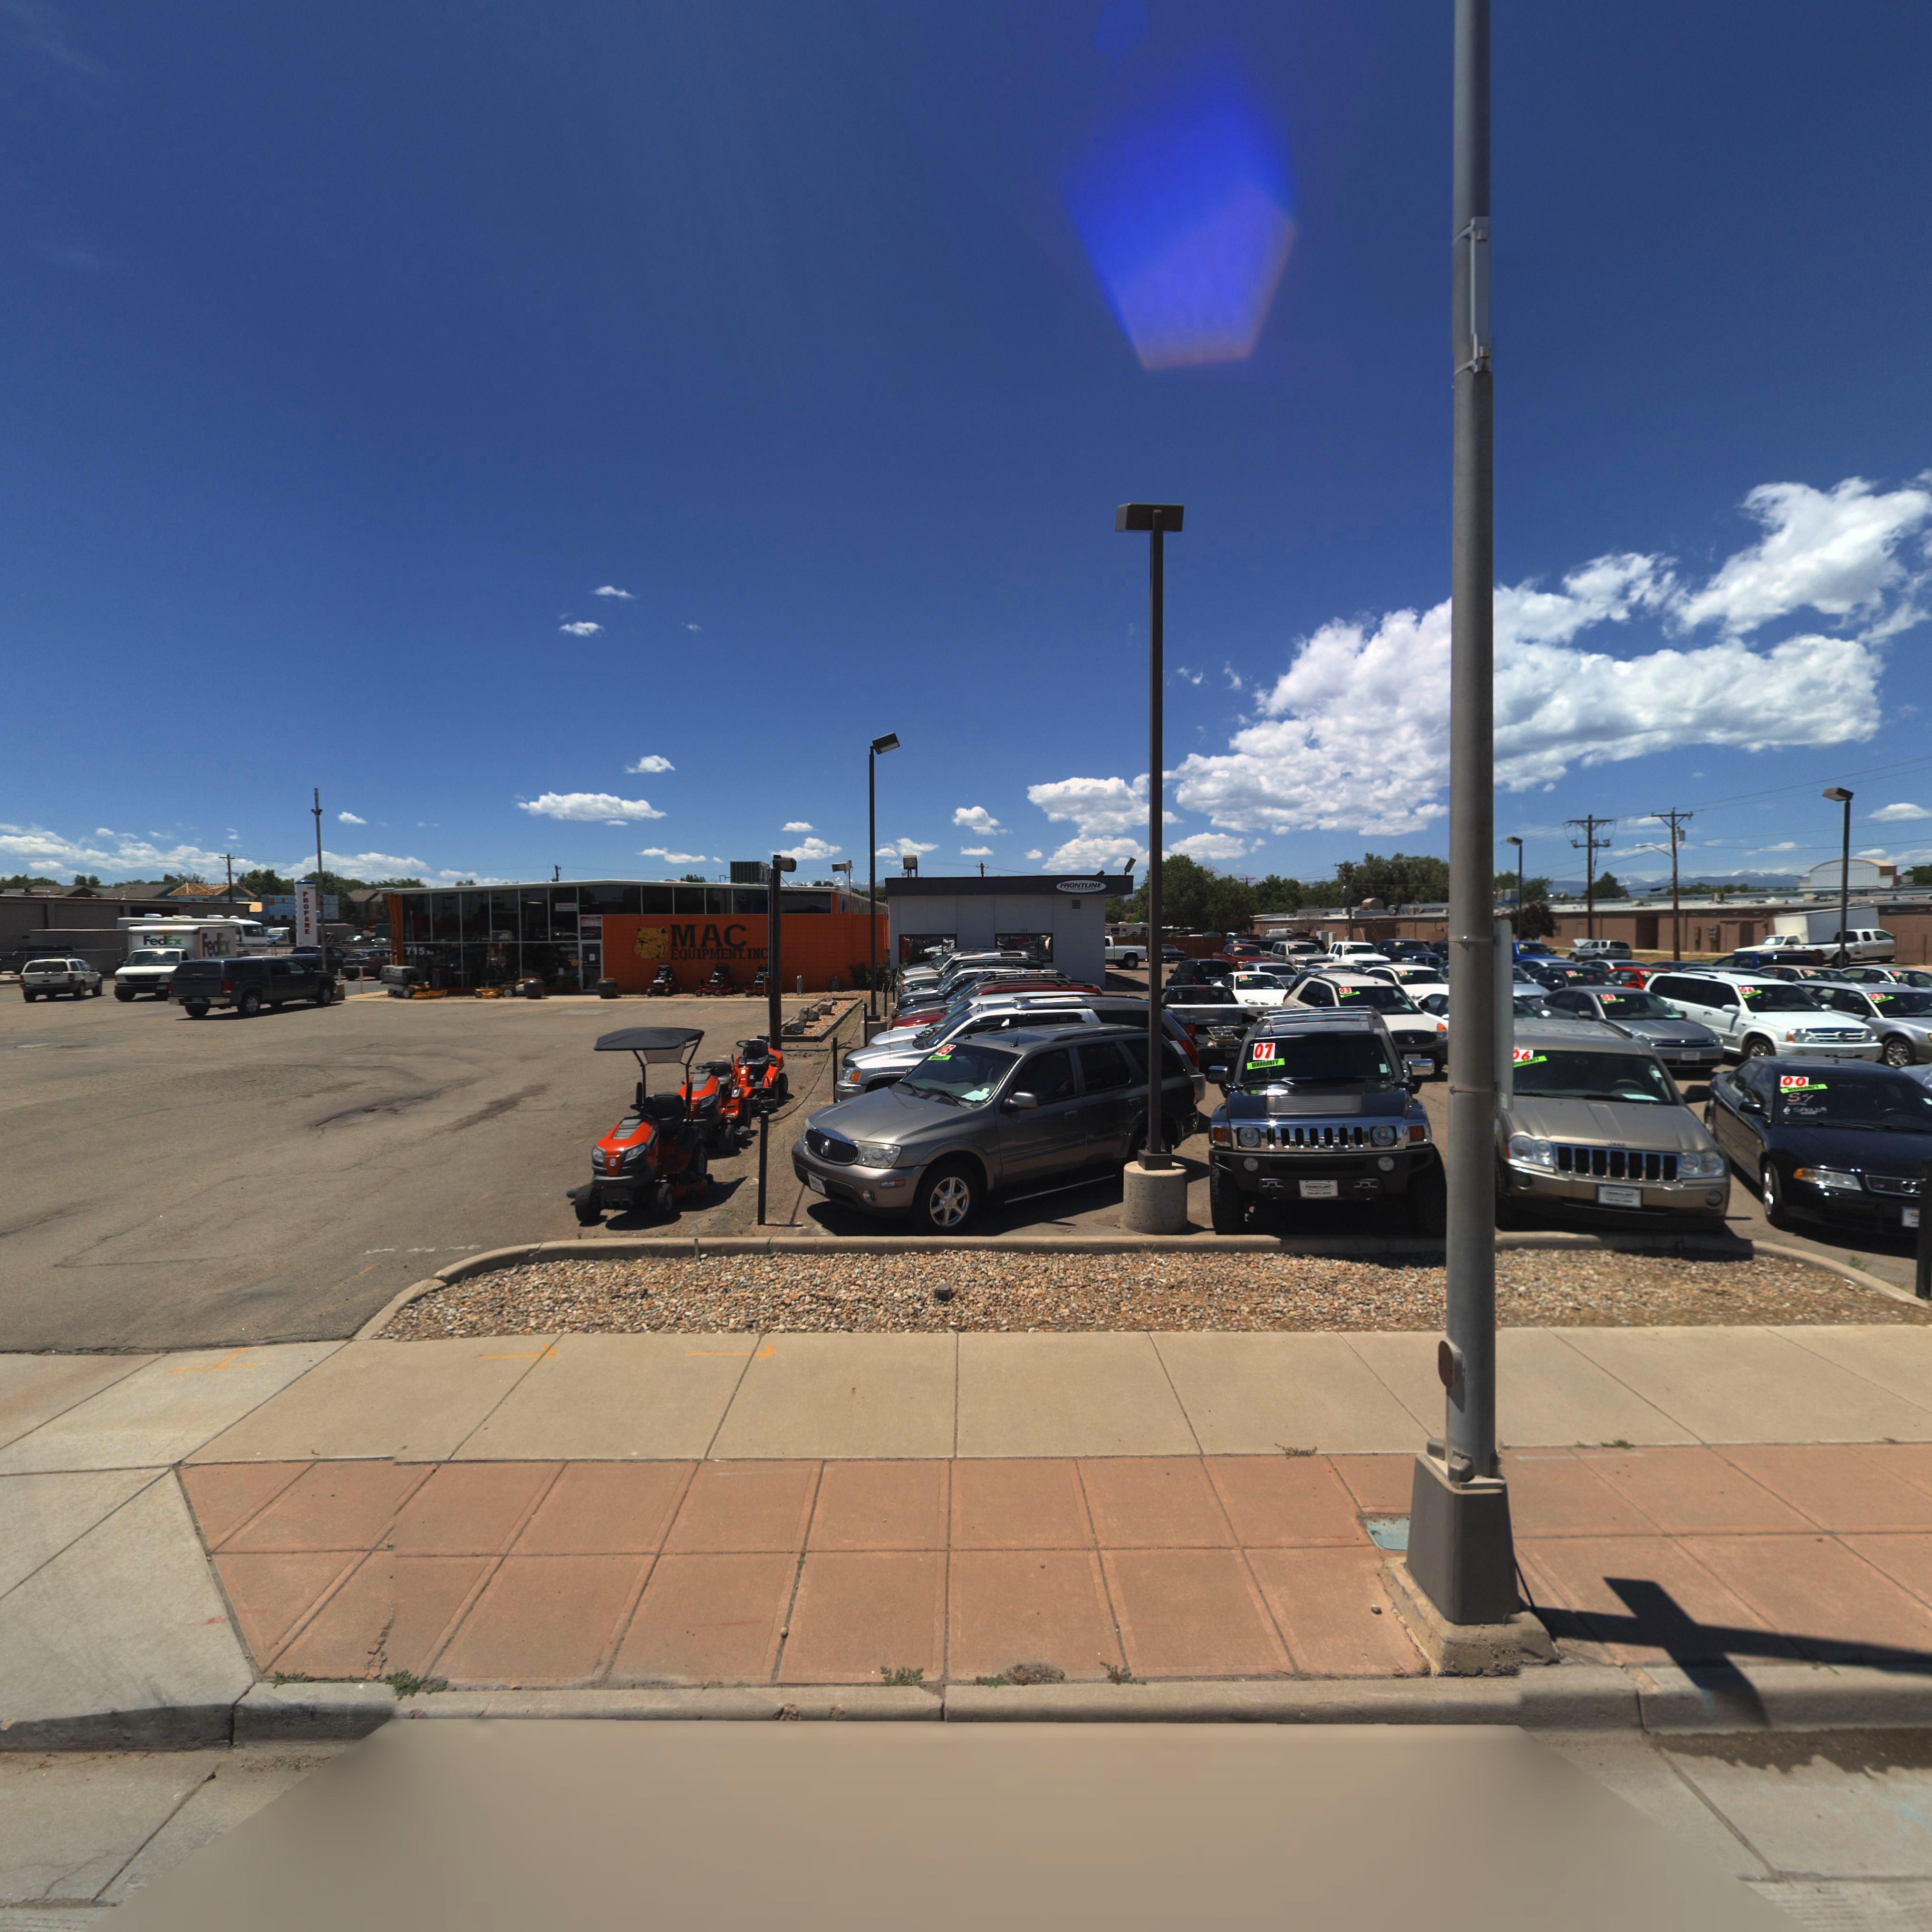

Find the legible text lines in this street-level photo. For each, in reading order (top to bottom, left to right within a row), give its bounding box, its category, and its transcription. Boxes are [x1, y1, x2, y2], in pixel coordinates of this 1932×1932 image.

[1064, 887, 1097, 890] BusinessName: AUTOMOTIVE
[1059, 882, 1102, 888] BusinessName: FRONTLINE
[1019, 927, 1028, 933] StreetNumber: 701
[669, 923, 748, 948] BusinessName: MAC
[405, 947, 425, 955] StreetNumber: 715
[669, 947, 769, 961] BusinessName: EQUIPMENT* INC